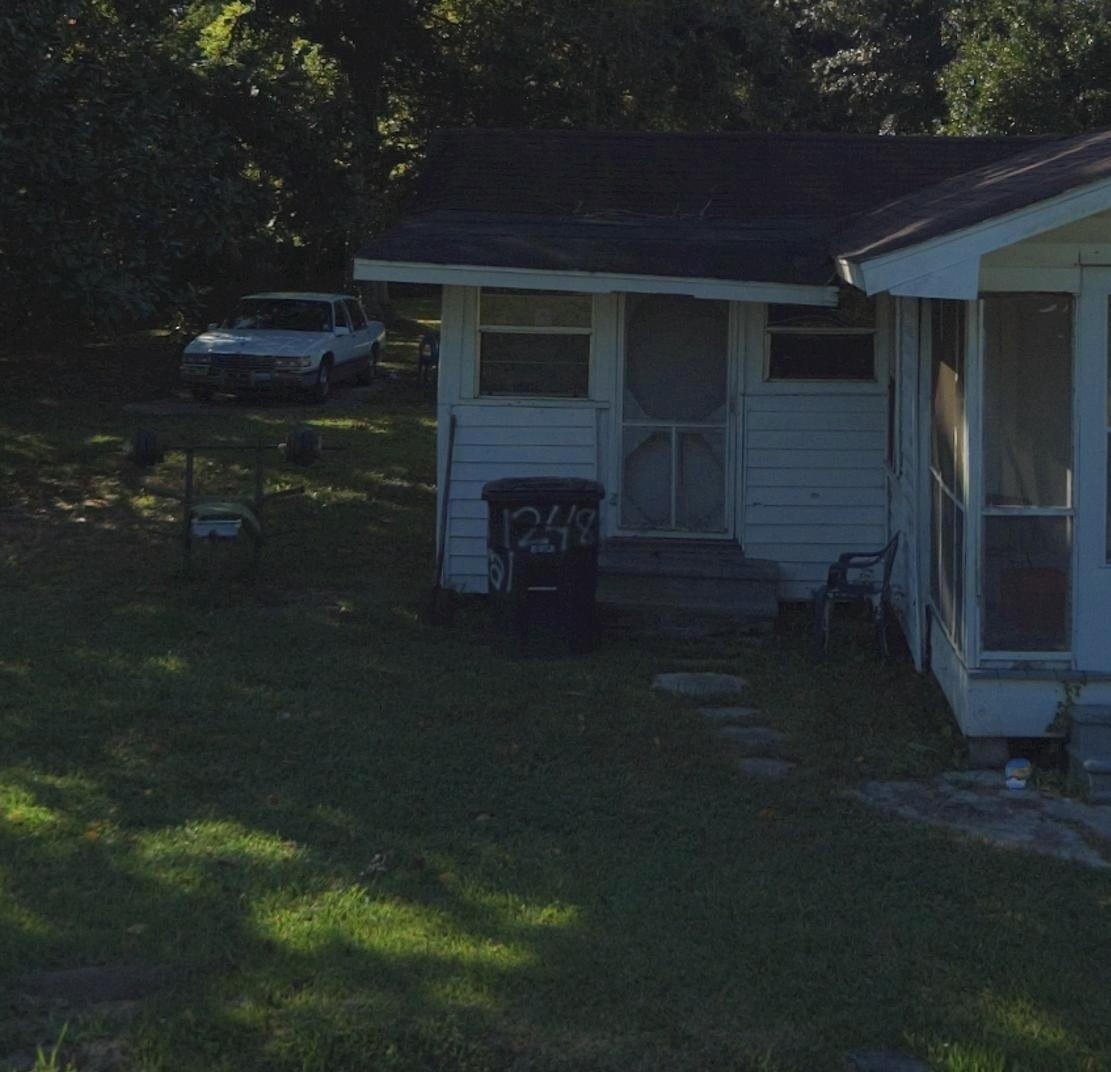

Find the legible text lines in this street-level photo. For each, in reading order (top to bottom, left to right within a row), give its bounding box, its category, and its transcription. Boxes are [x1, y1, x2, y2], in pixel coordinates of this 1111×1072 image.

[497, 501, 601, 553] StreetNumber: 1248